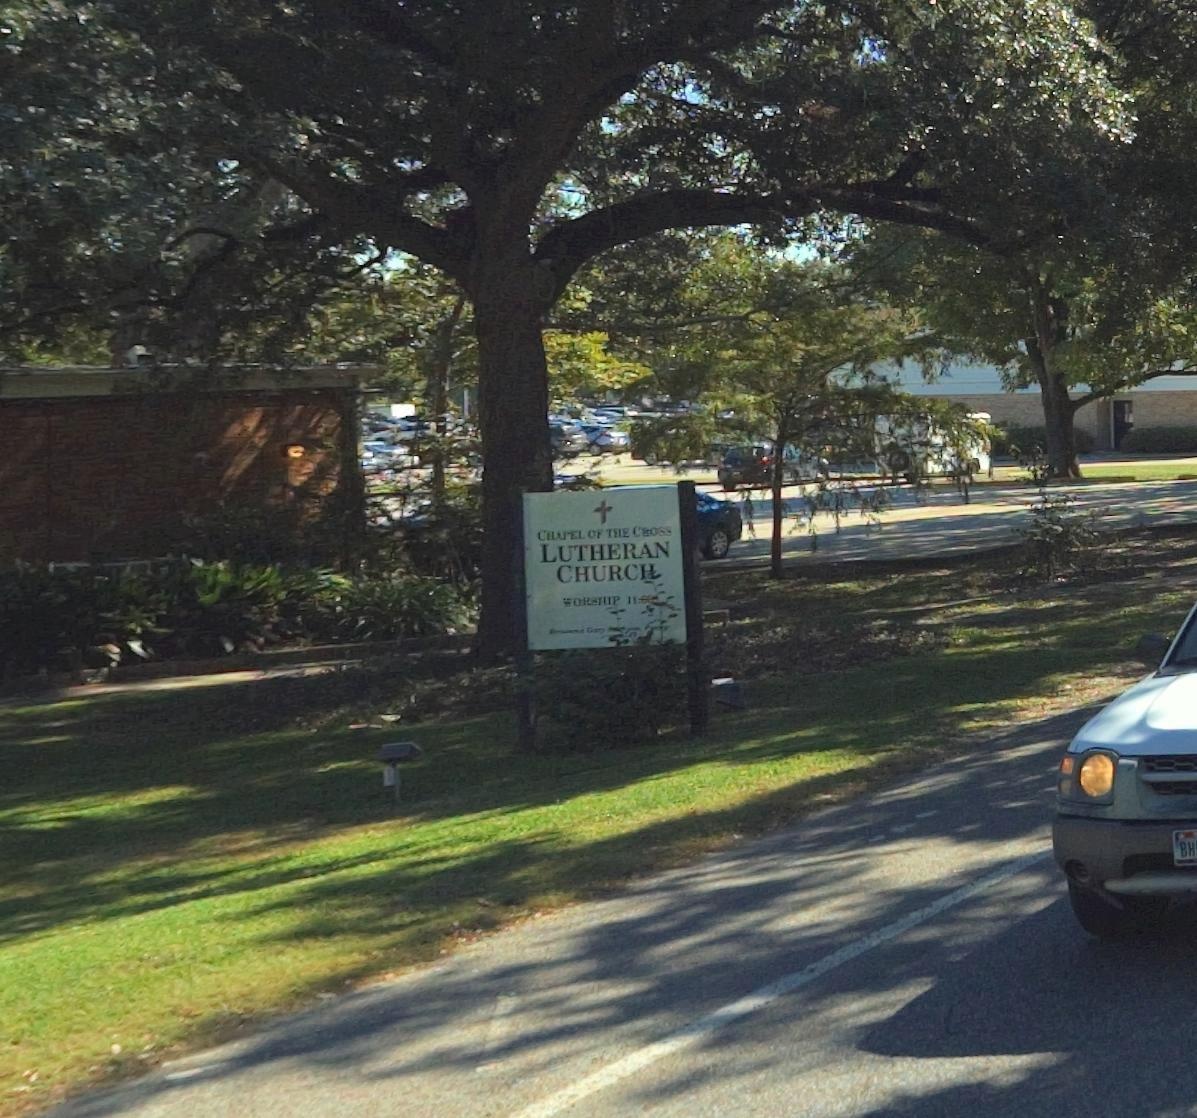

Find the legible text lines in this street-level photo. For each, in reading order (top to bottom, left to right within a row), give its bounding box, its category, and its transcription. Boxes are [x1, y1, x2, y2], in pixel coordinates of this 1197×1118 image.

[536, 525, 672, 542] BusinessName: CHAPEL OF THE CROSS
[539, 541, 672, 564] BusinessName: LUTHERAN
[556, 562, 657, 585] BusinessName: CHURC*
[562, 594, 652, 608] None: WORSHIP 11**
[1178, 839, 1196, 858] None: BH